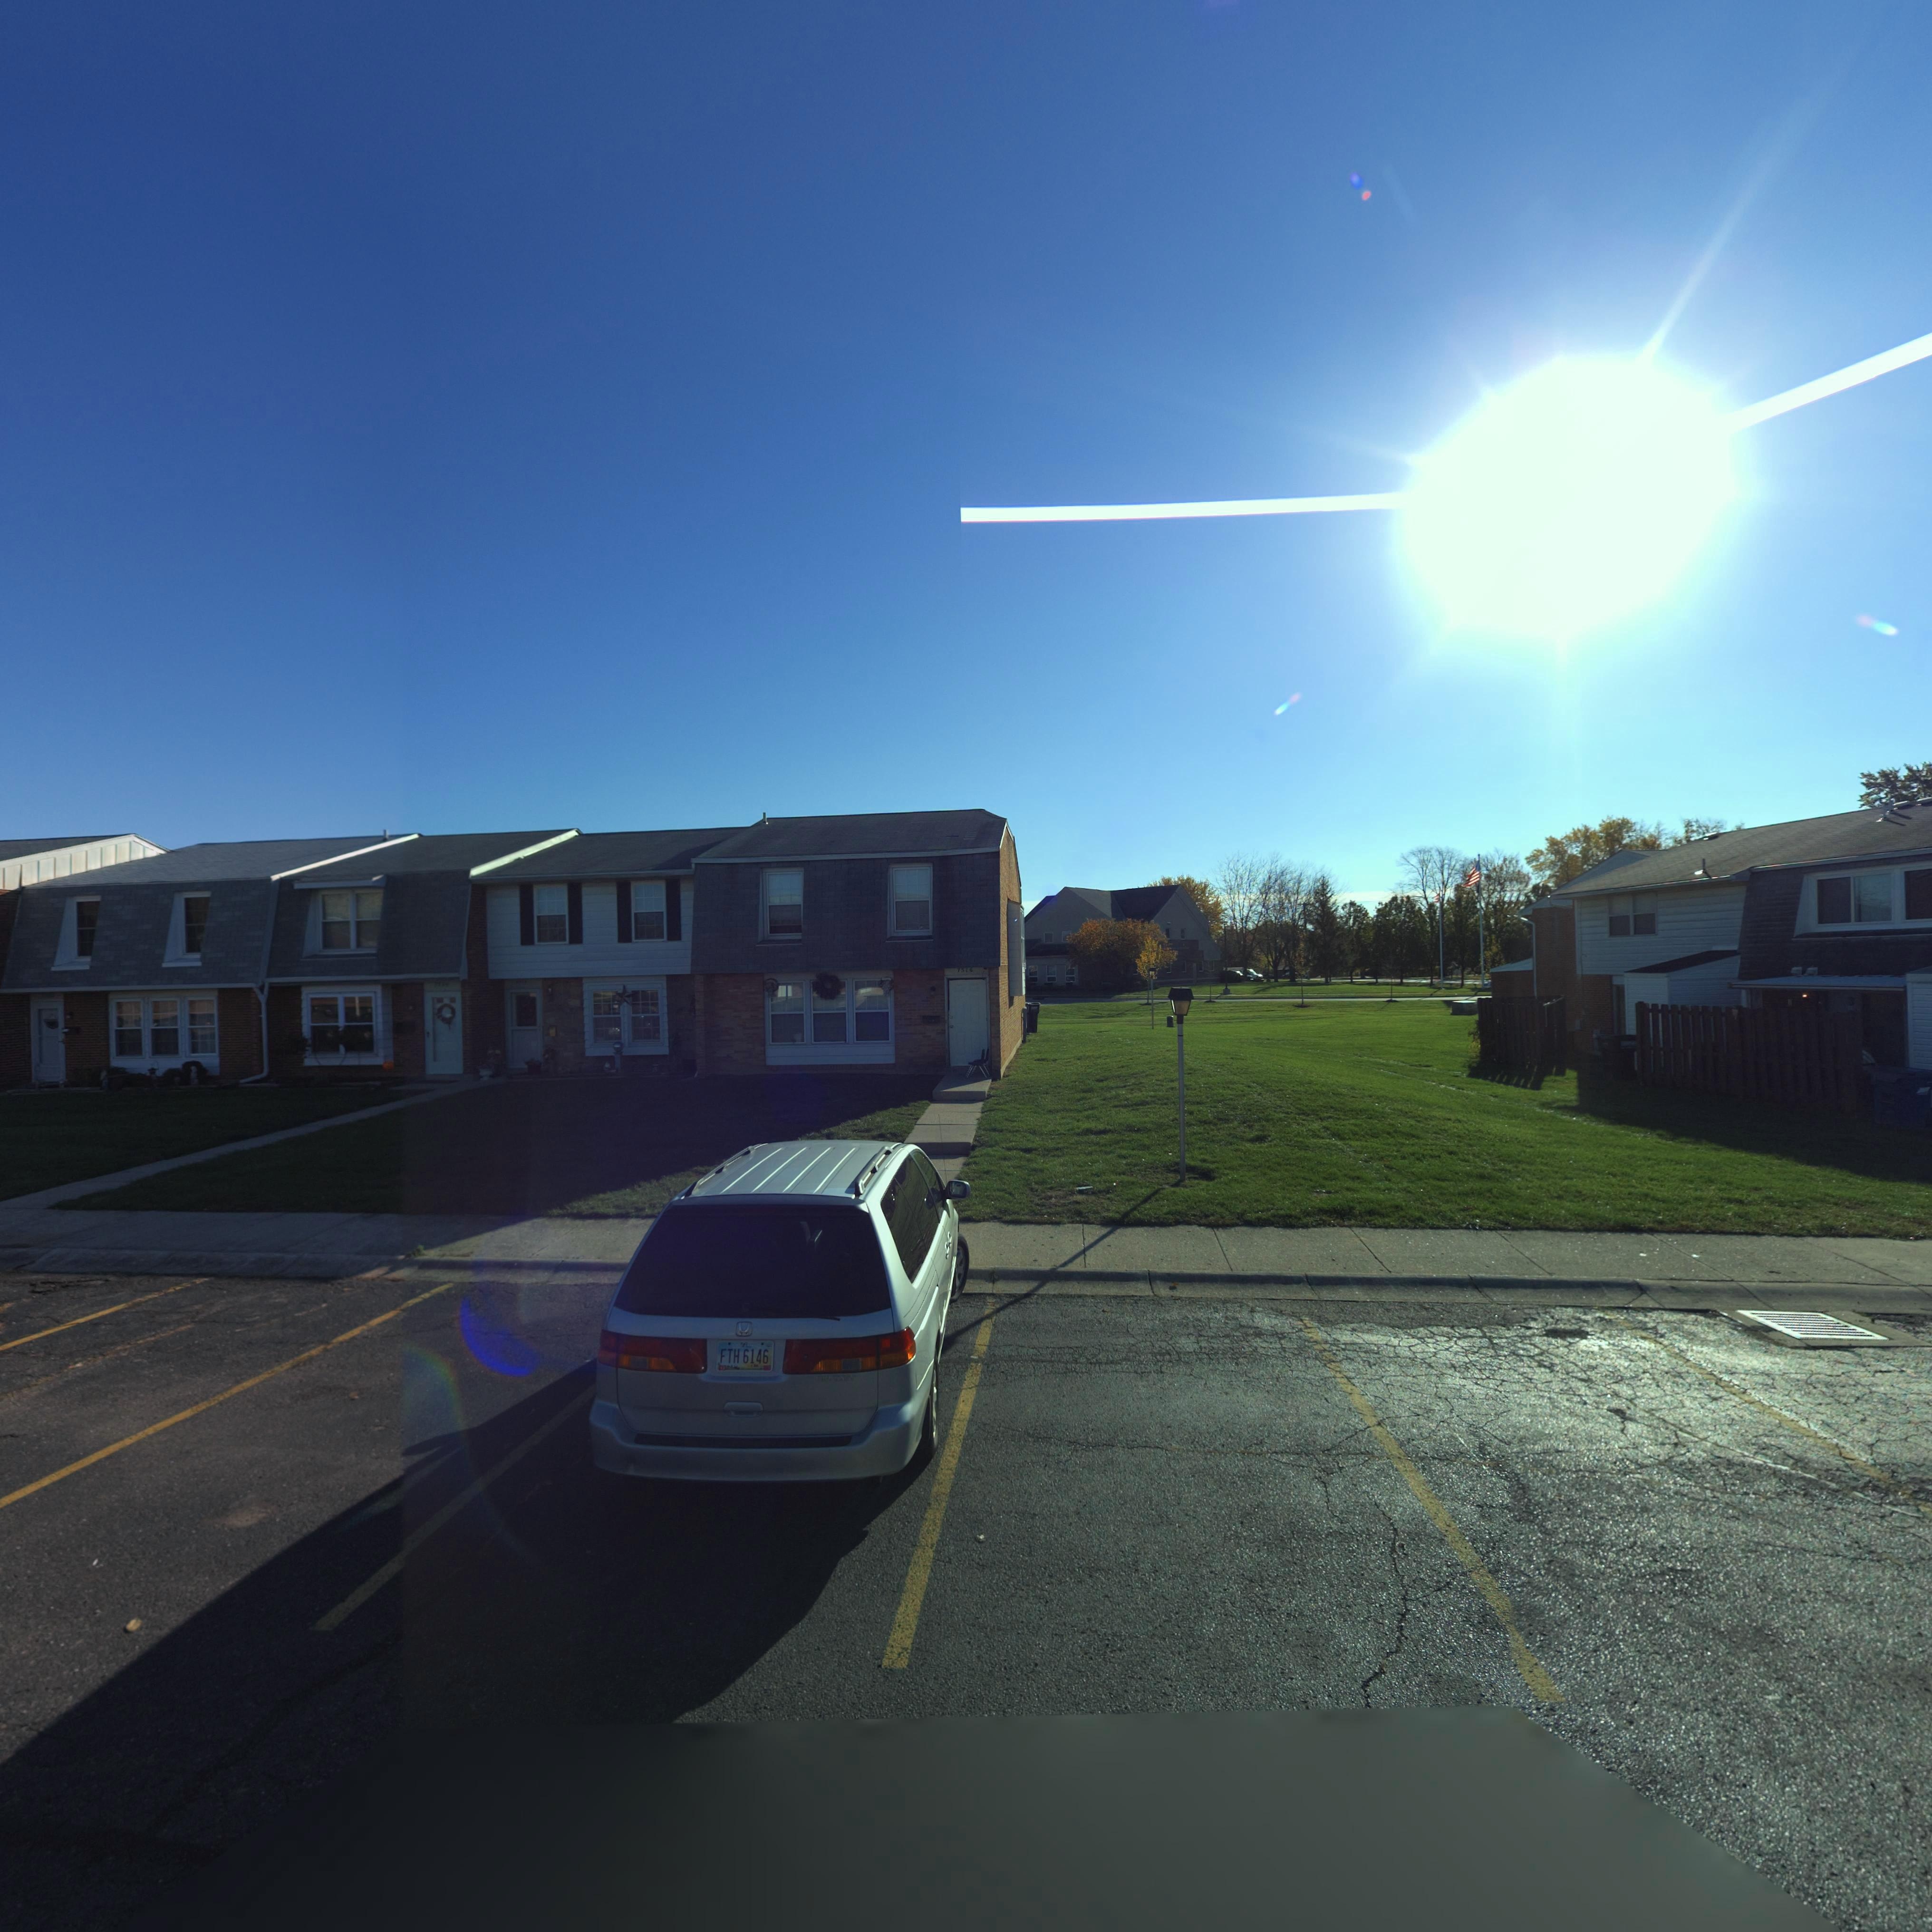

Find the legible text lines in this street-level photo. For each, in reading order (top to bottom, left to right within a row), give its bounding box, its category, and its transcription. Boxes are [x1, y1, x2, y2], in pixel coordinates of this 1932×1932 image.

[956, 967, 973, 972] StreetNumber: 7516
[433, 981, 449, 986] StreetNumber: 75**